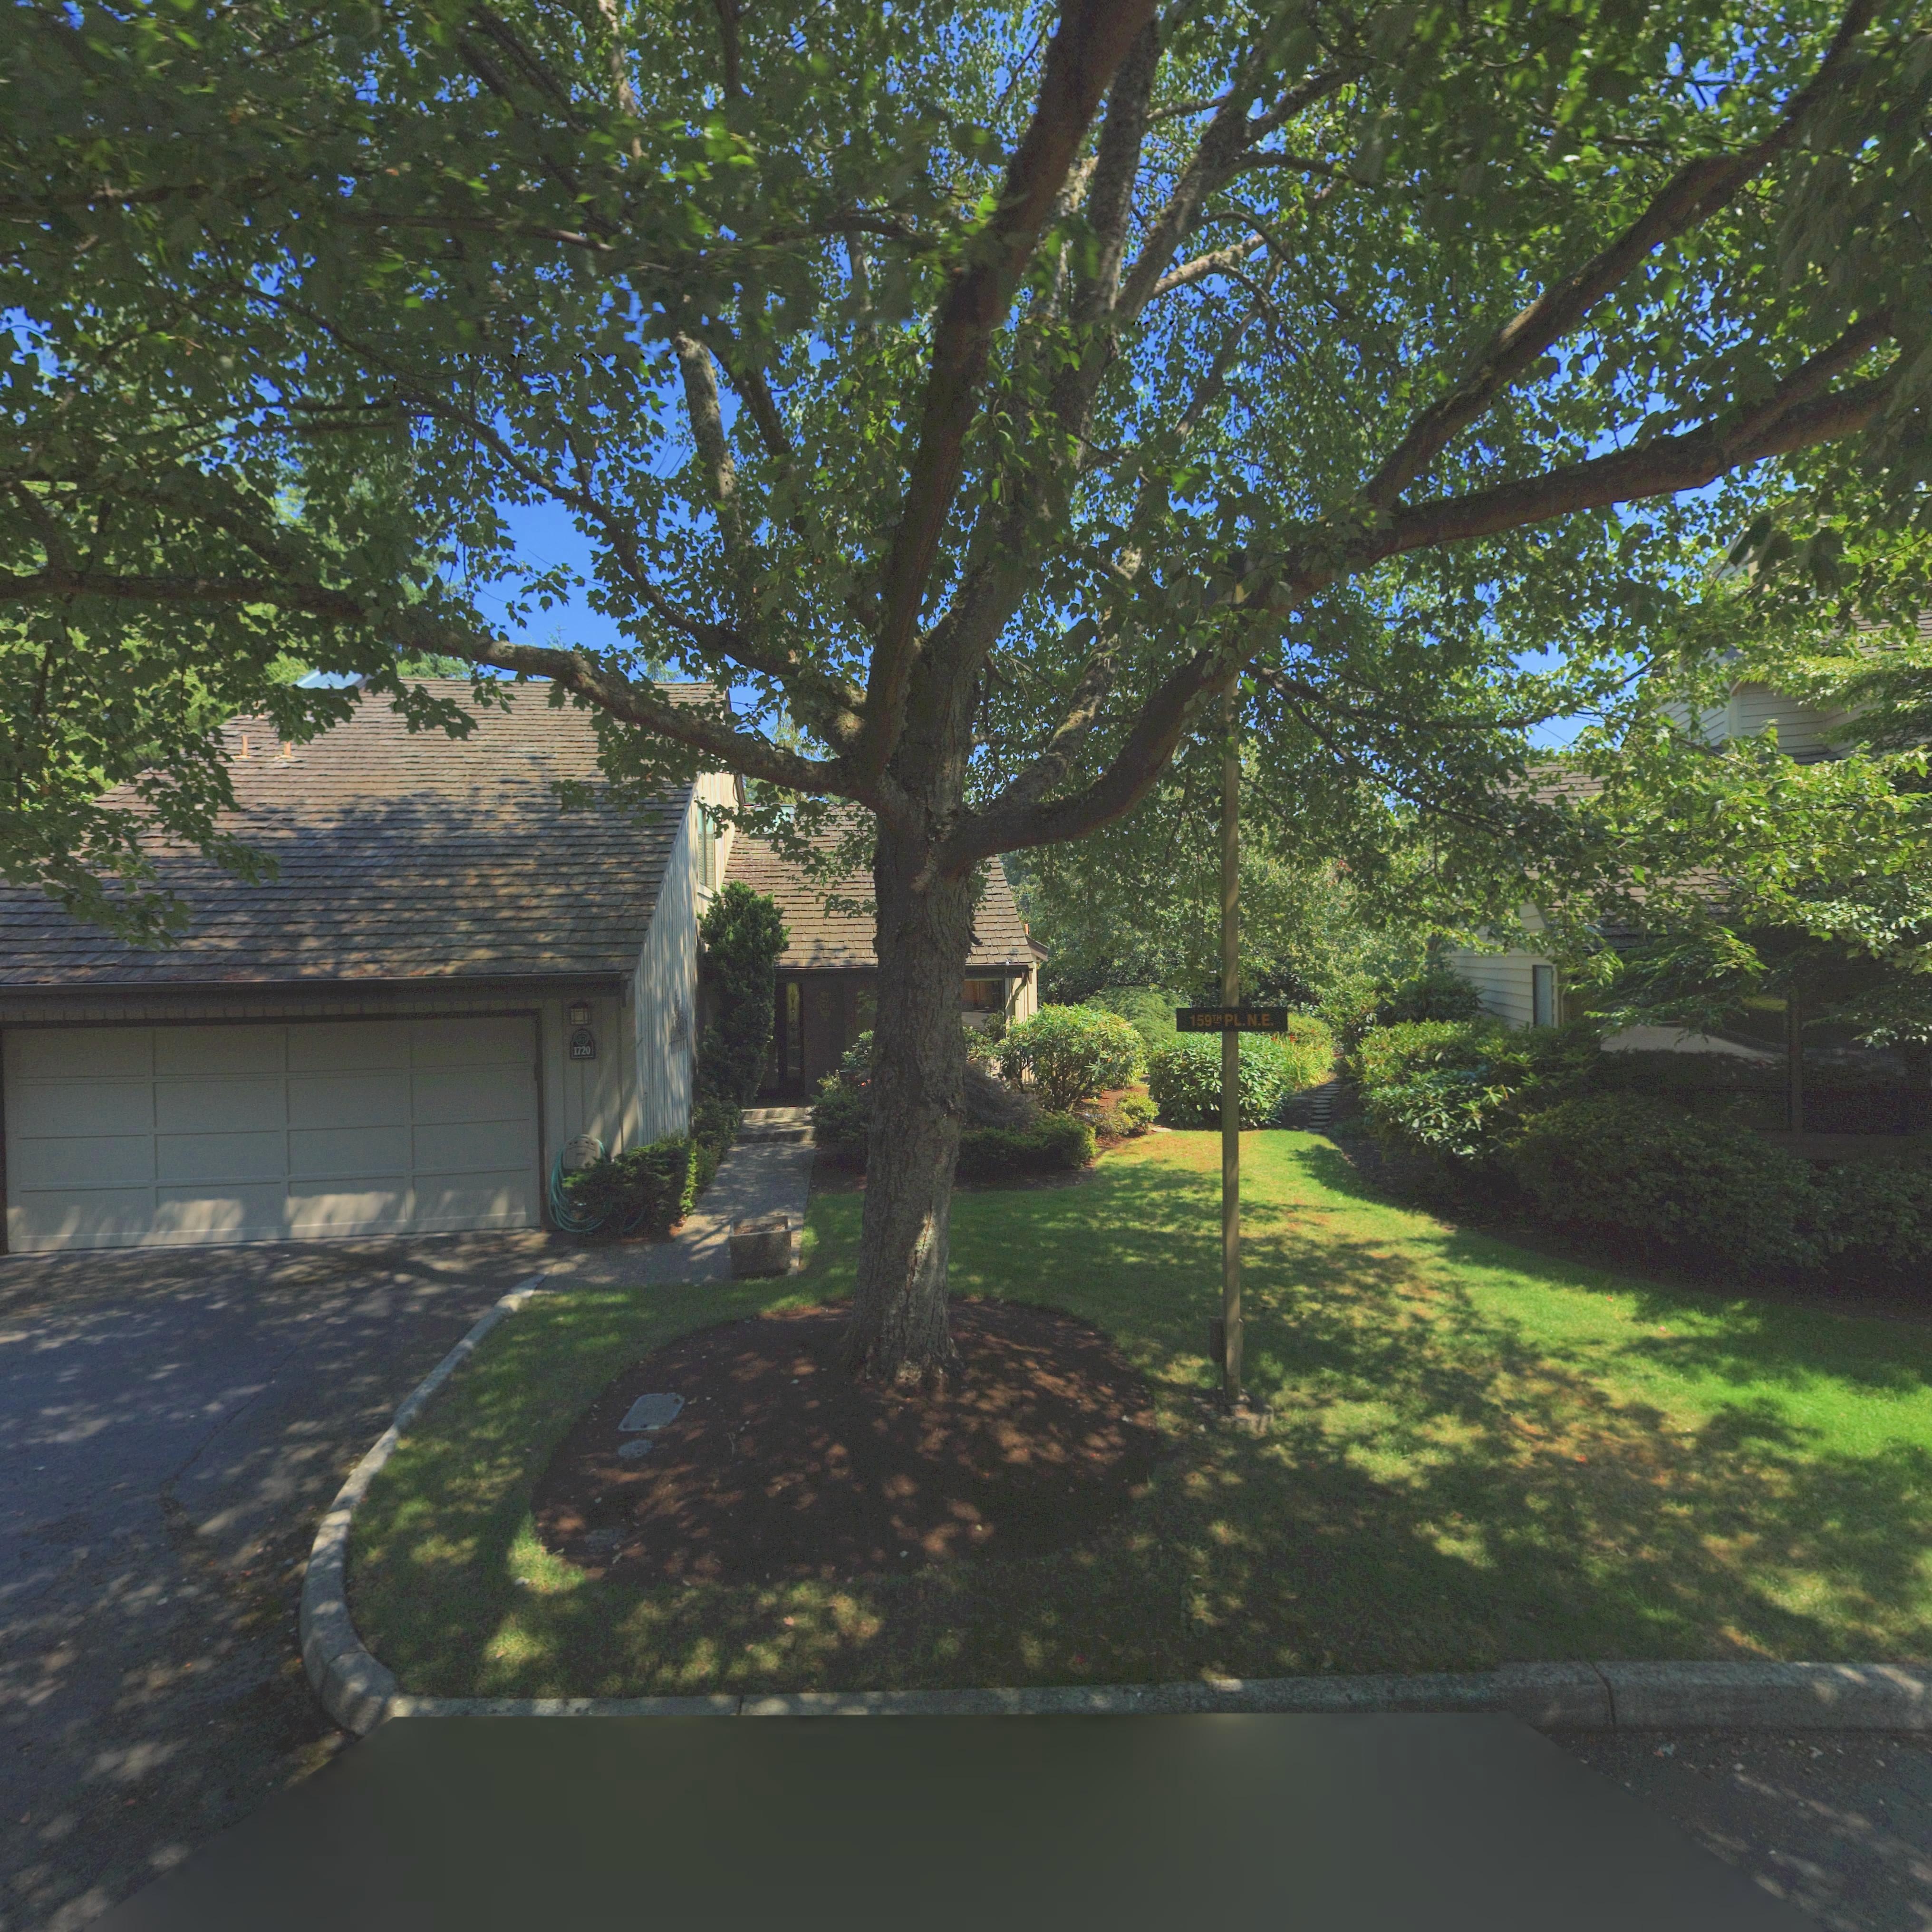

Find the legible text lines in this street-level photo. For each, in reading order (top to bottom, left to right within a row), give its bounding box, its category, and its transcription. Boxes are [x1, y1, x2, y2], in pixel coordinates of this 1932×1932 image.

[1190, 1014, 1269, 1026] StreetName: 159th PL. N.E.
[571, 1046, 592, 1055] StreetNumber: 1720